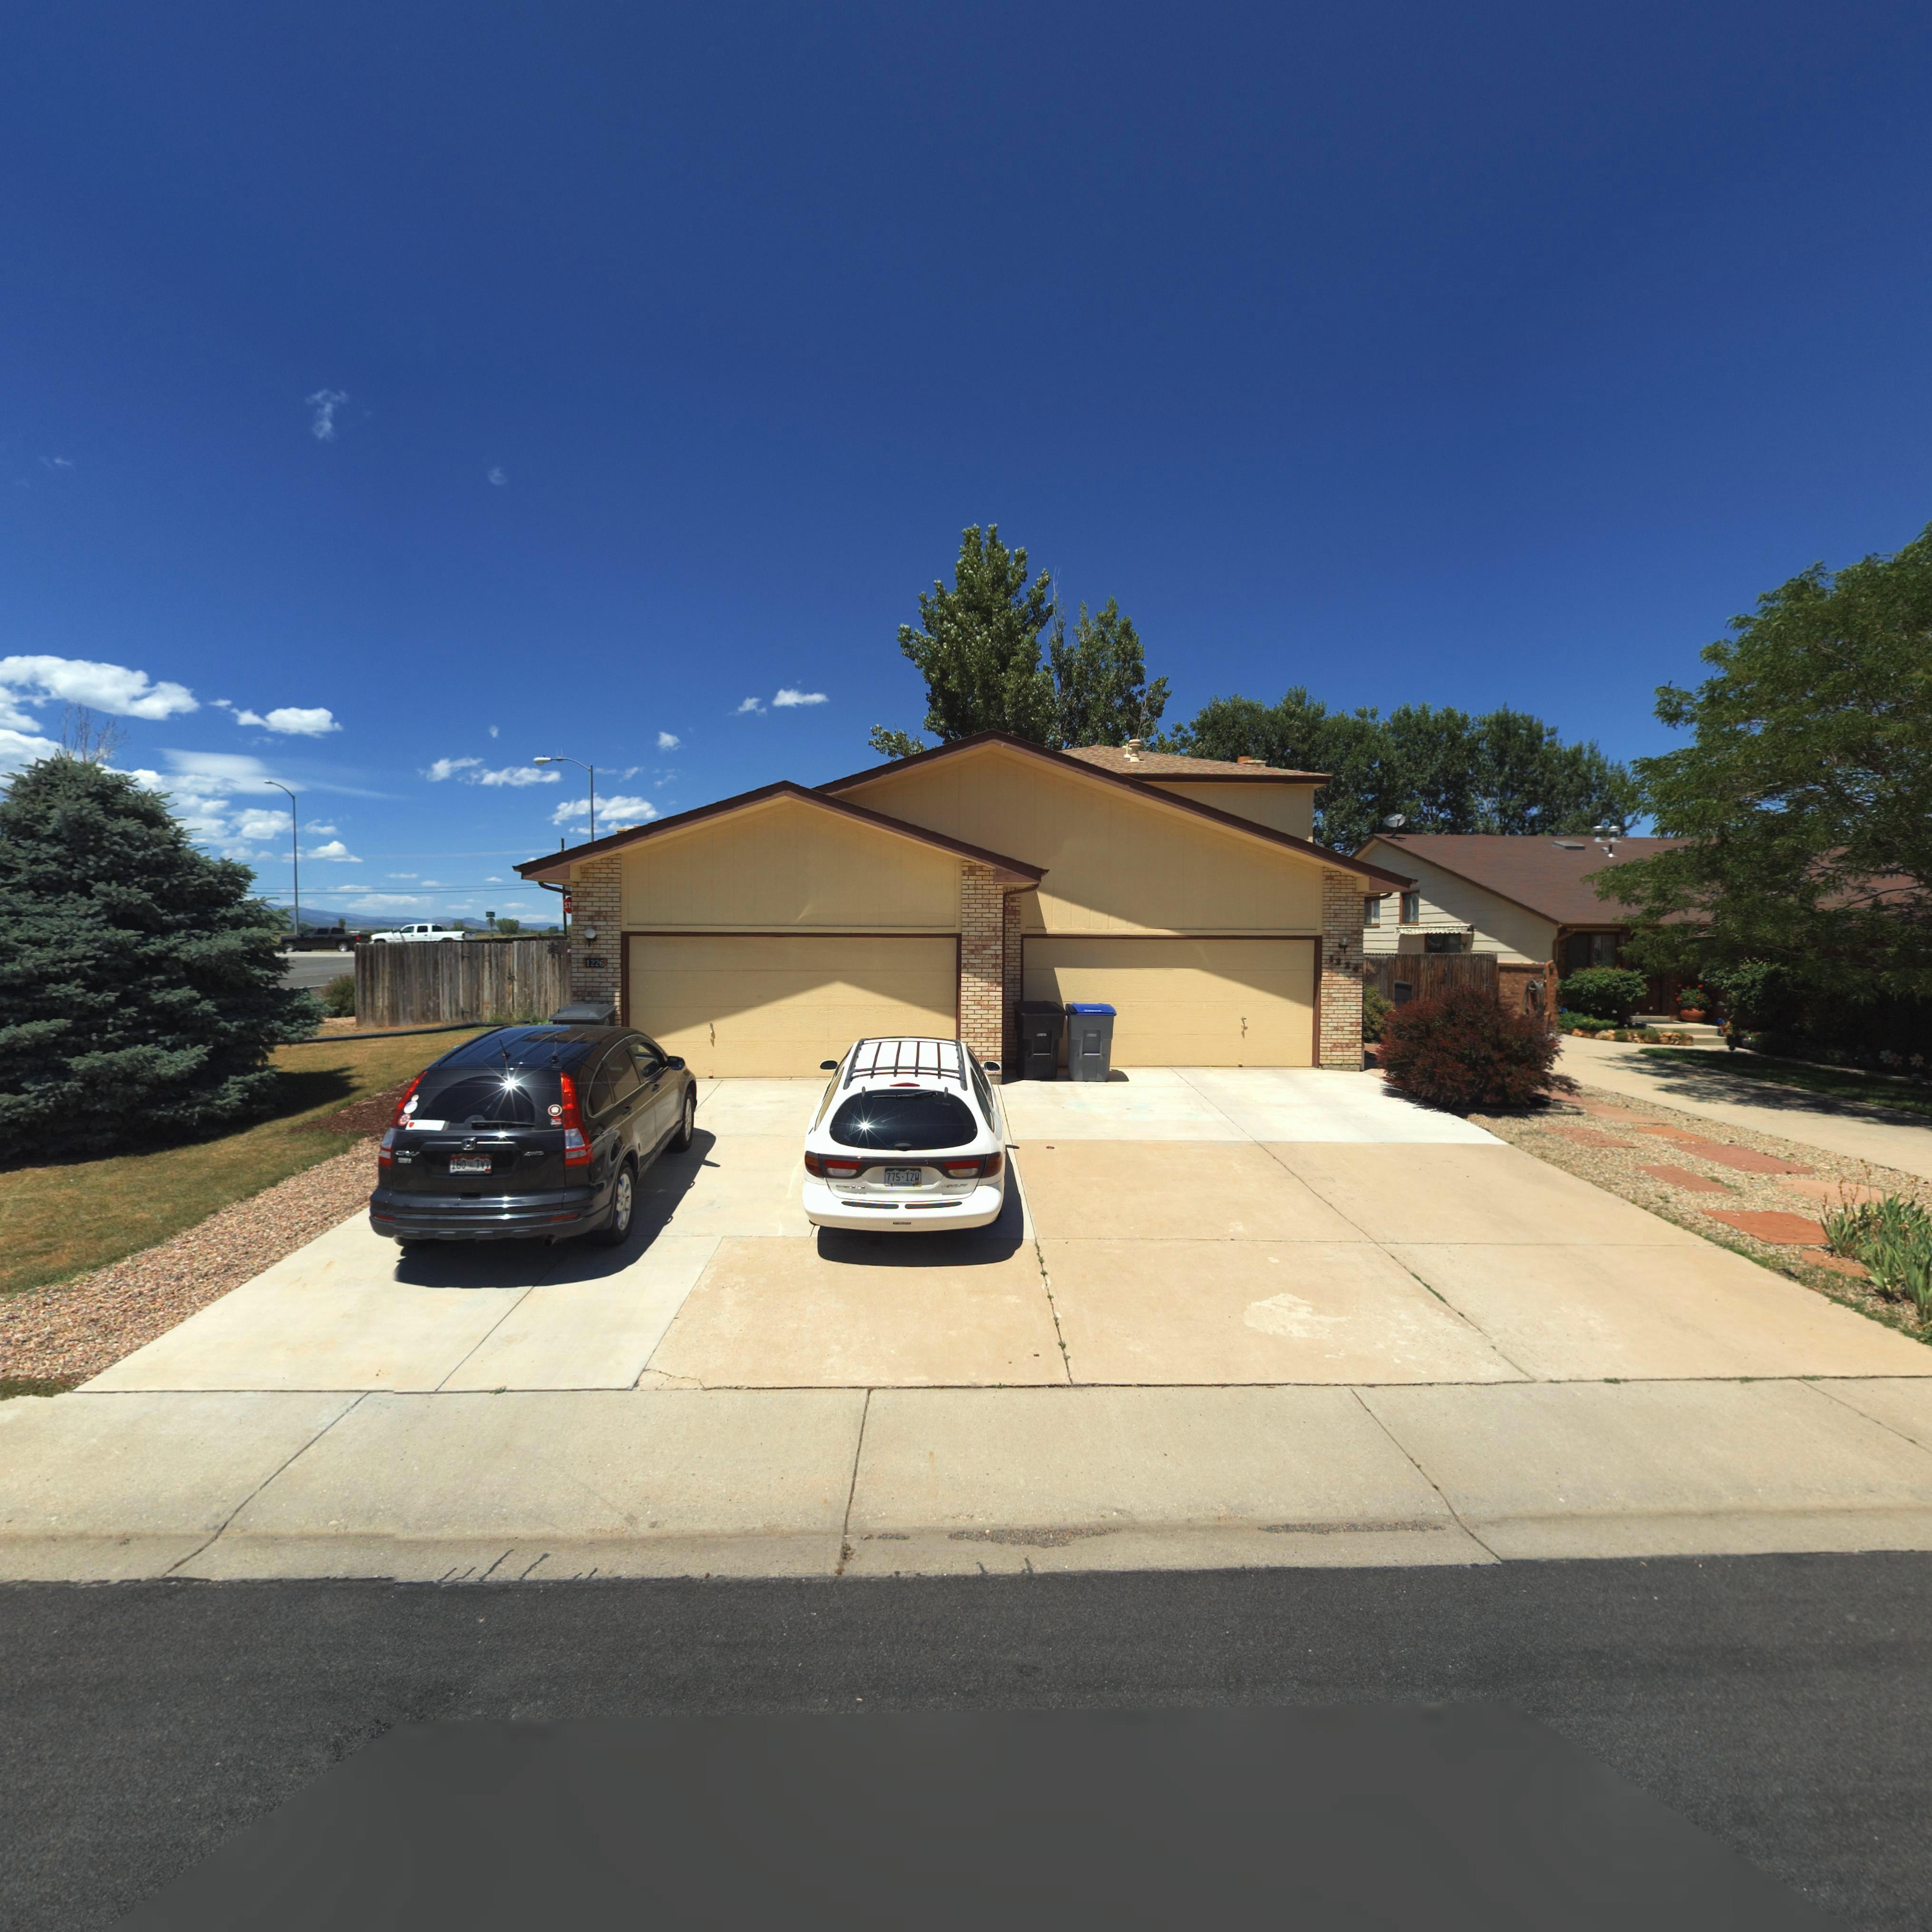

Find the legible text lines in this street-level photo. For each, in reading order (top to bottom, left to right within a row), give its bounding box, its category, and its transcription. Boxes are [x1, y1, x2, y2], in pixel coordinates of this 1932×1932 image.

[586, 959, 604, 966] StreetNumber: 1226
[1328, 954, 1360, 973] StreetNumber: 1224